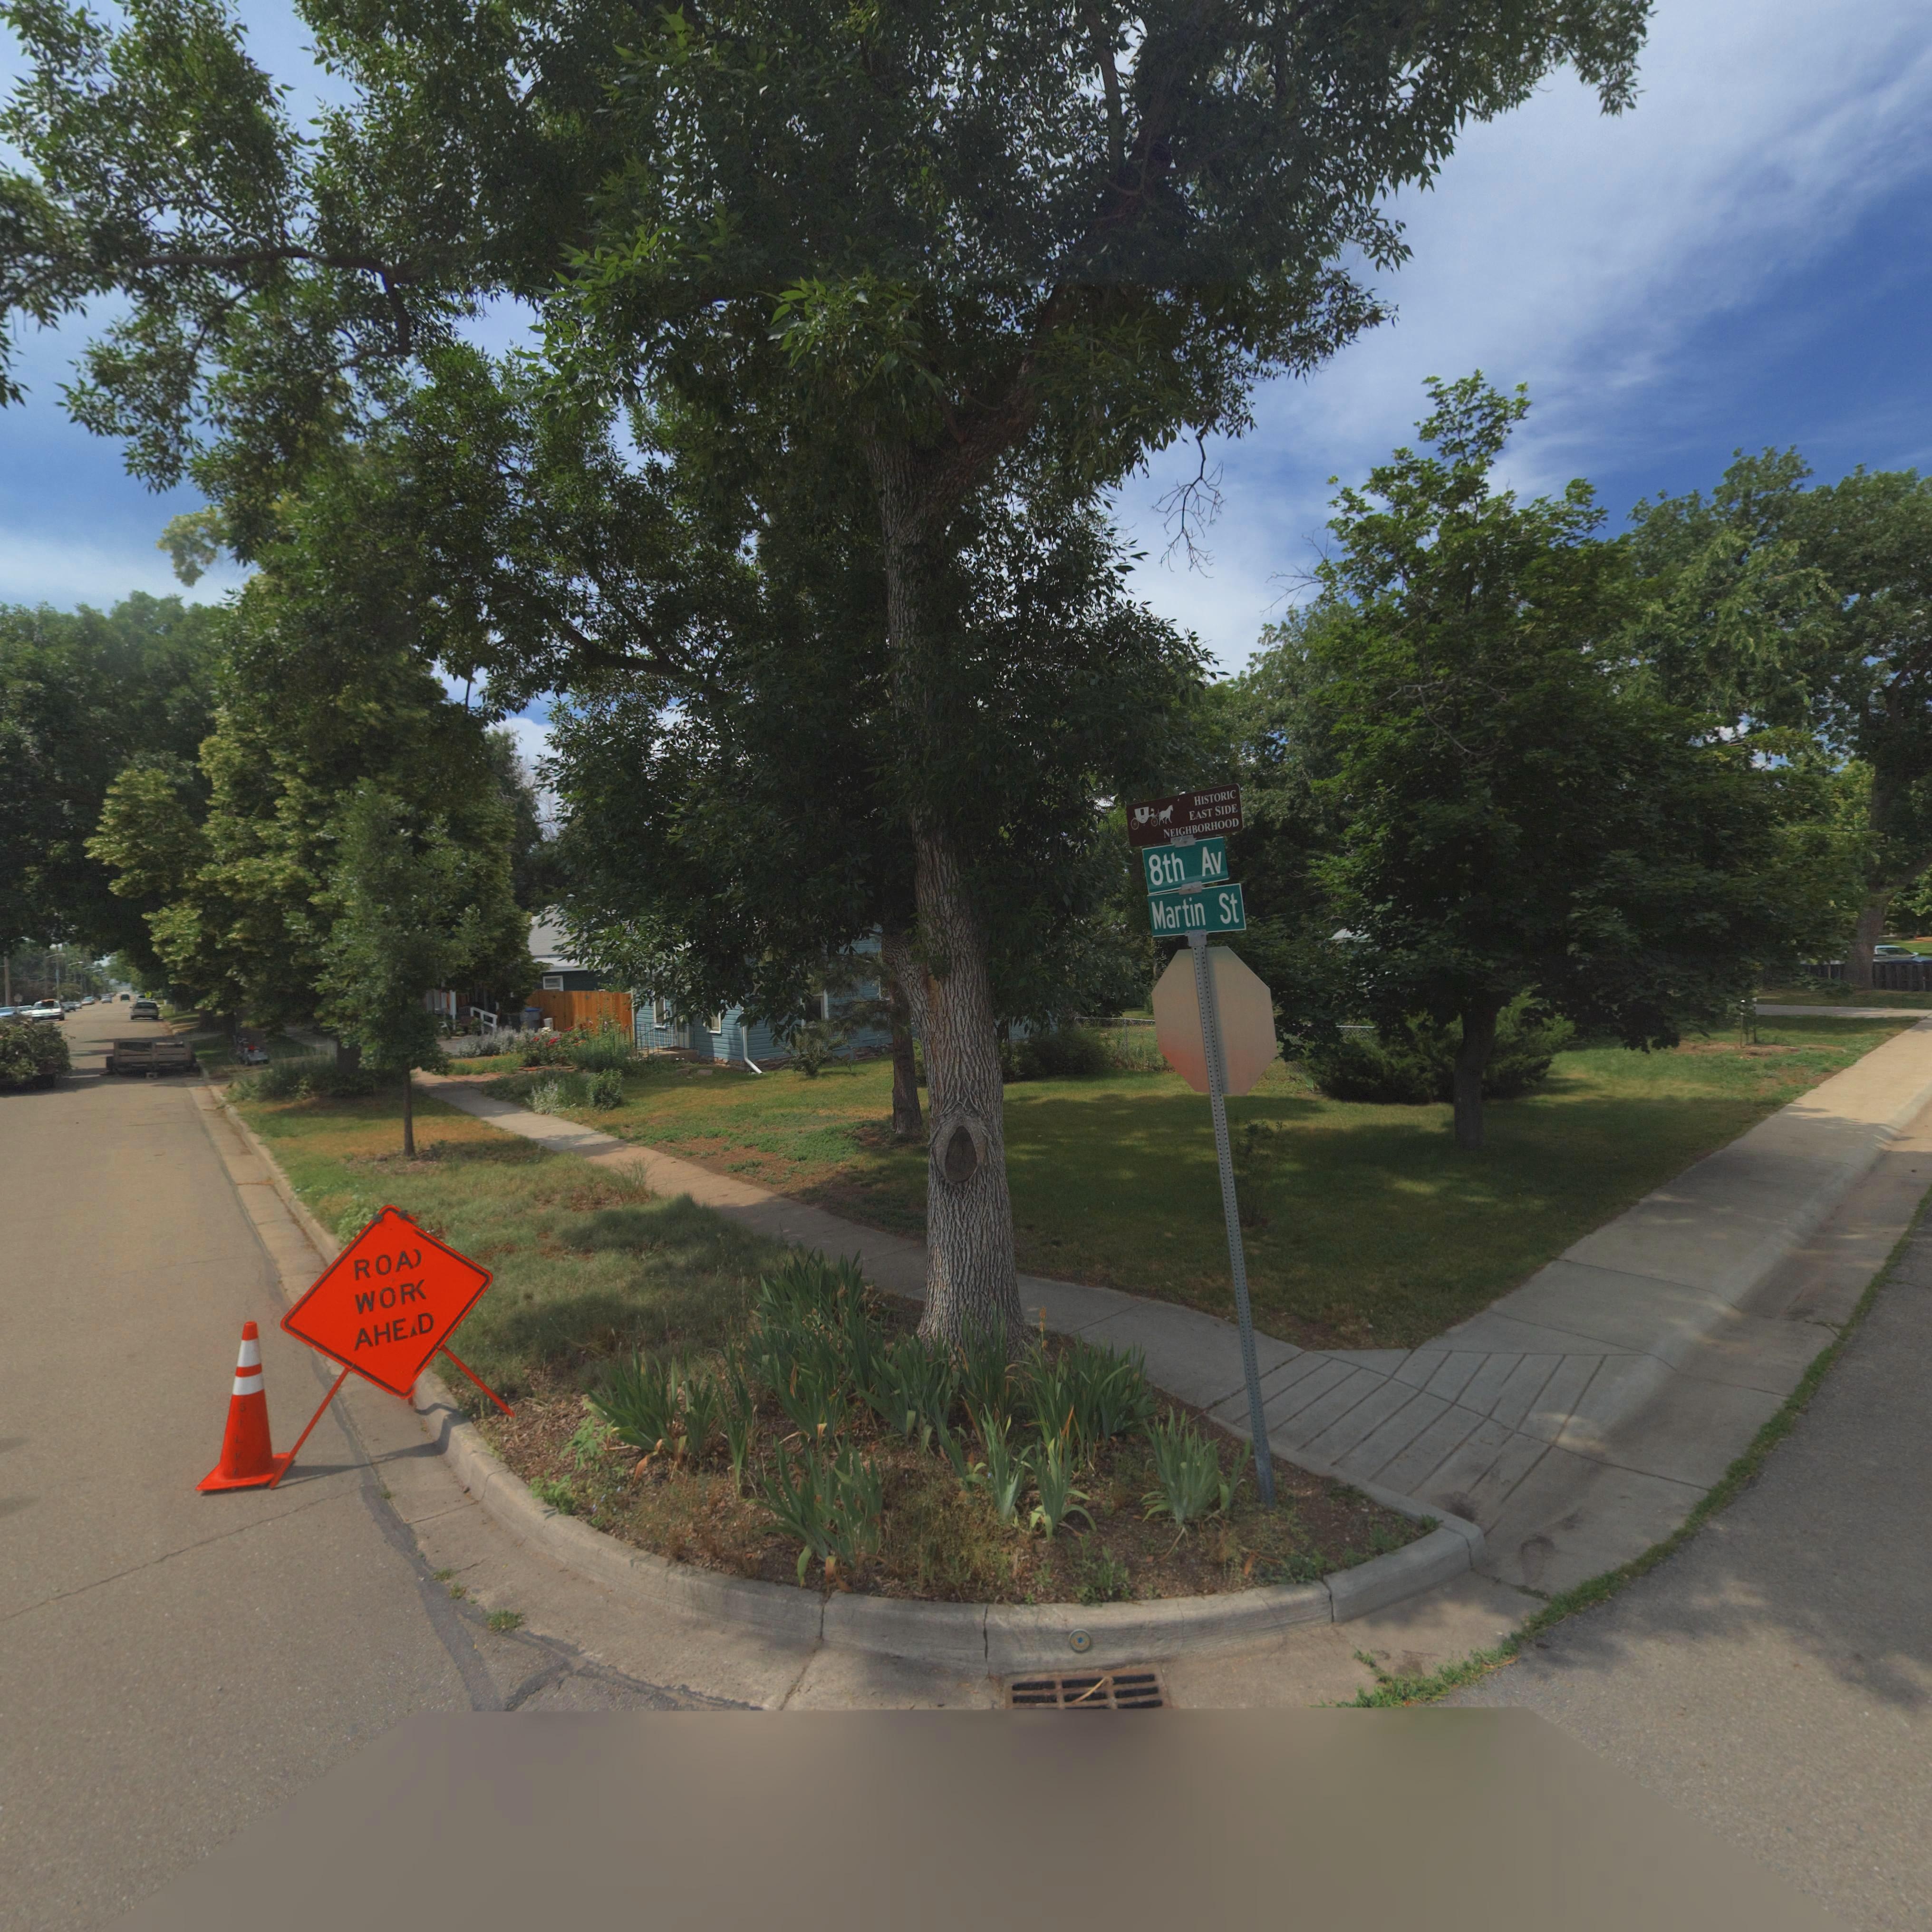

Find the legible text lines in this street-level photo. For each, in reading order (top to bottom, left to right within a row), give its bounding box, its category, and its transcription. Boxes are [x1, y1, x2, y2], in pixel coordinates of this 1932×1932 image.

[1149, 846, 1222, 886] StreetName: 8th Av
[1150, 891, 1239, 930] StreetName: Martin St